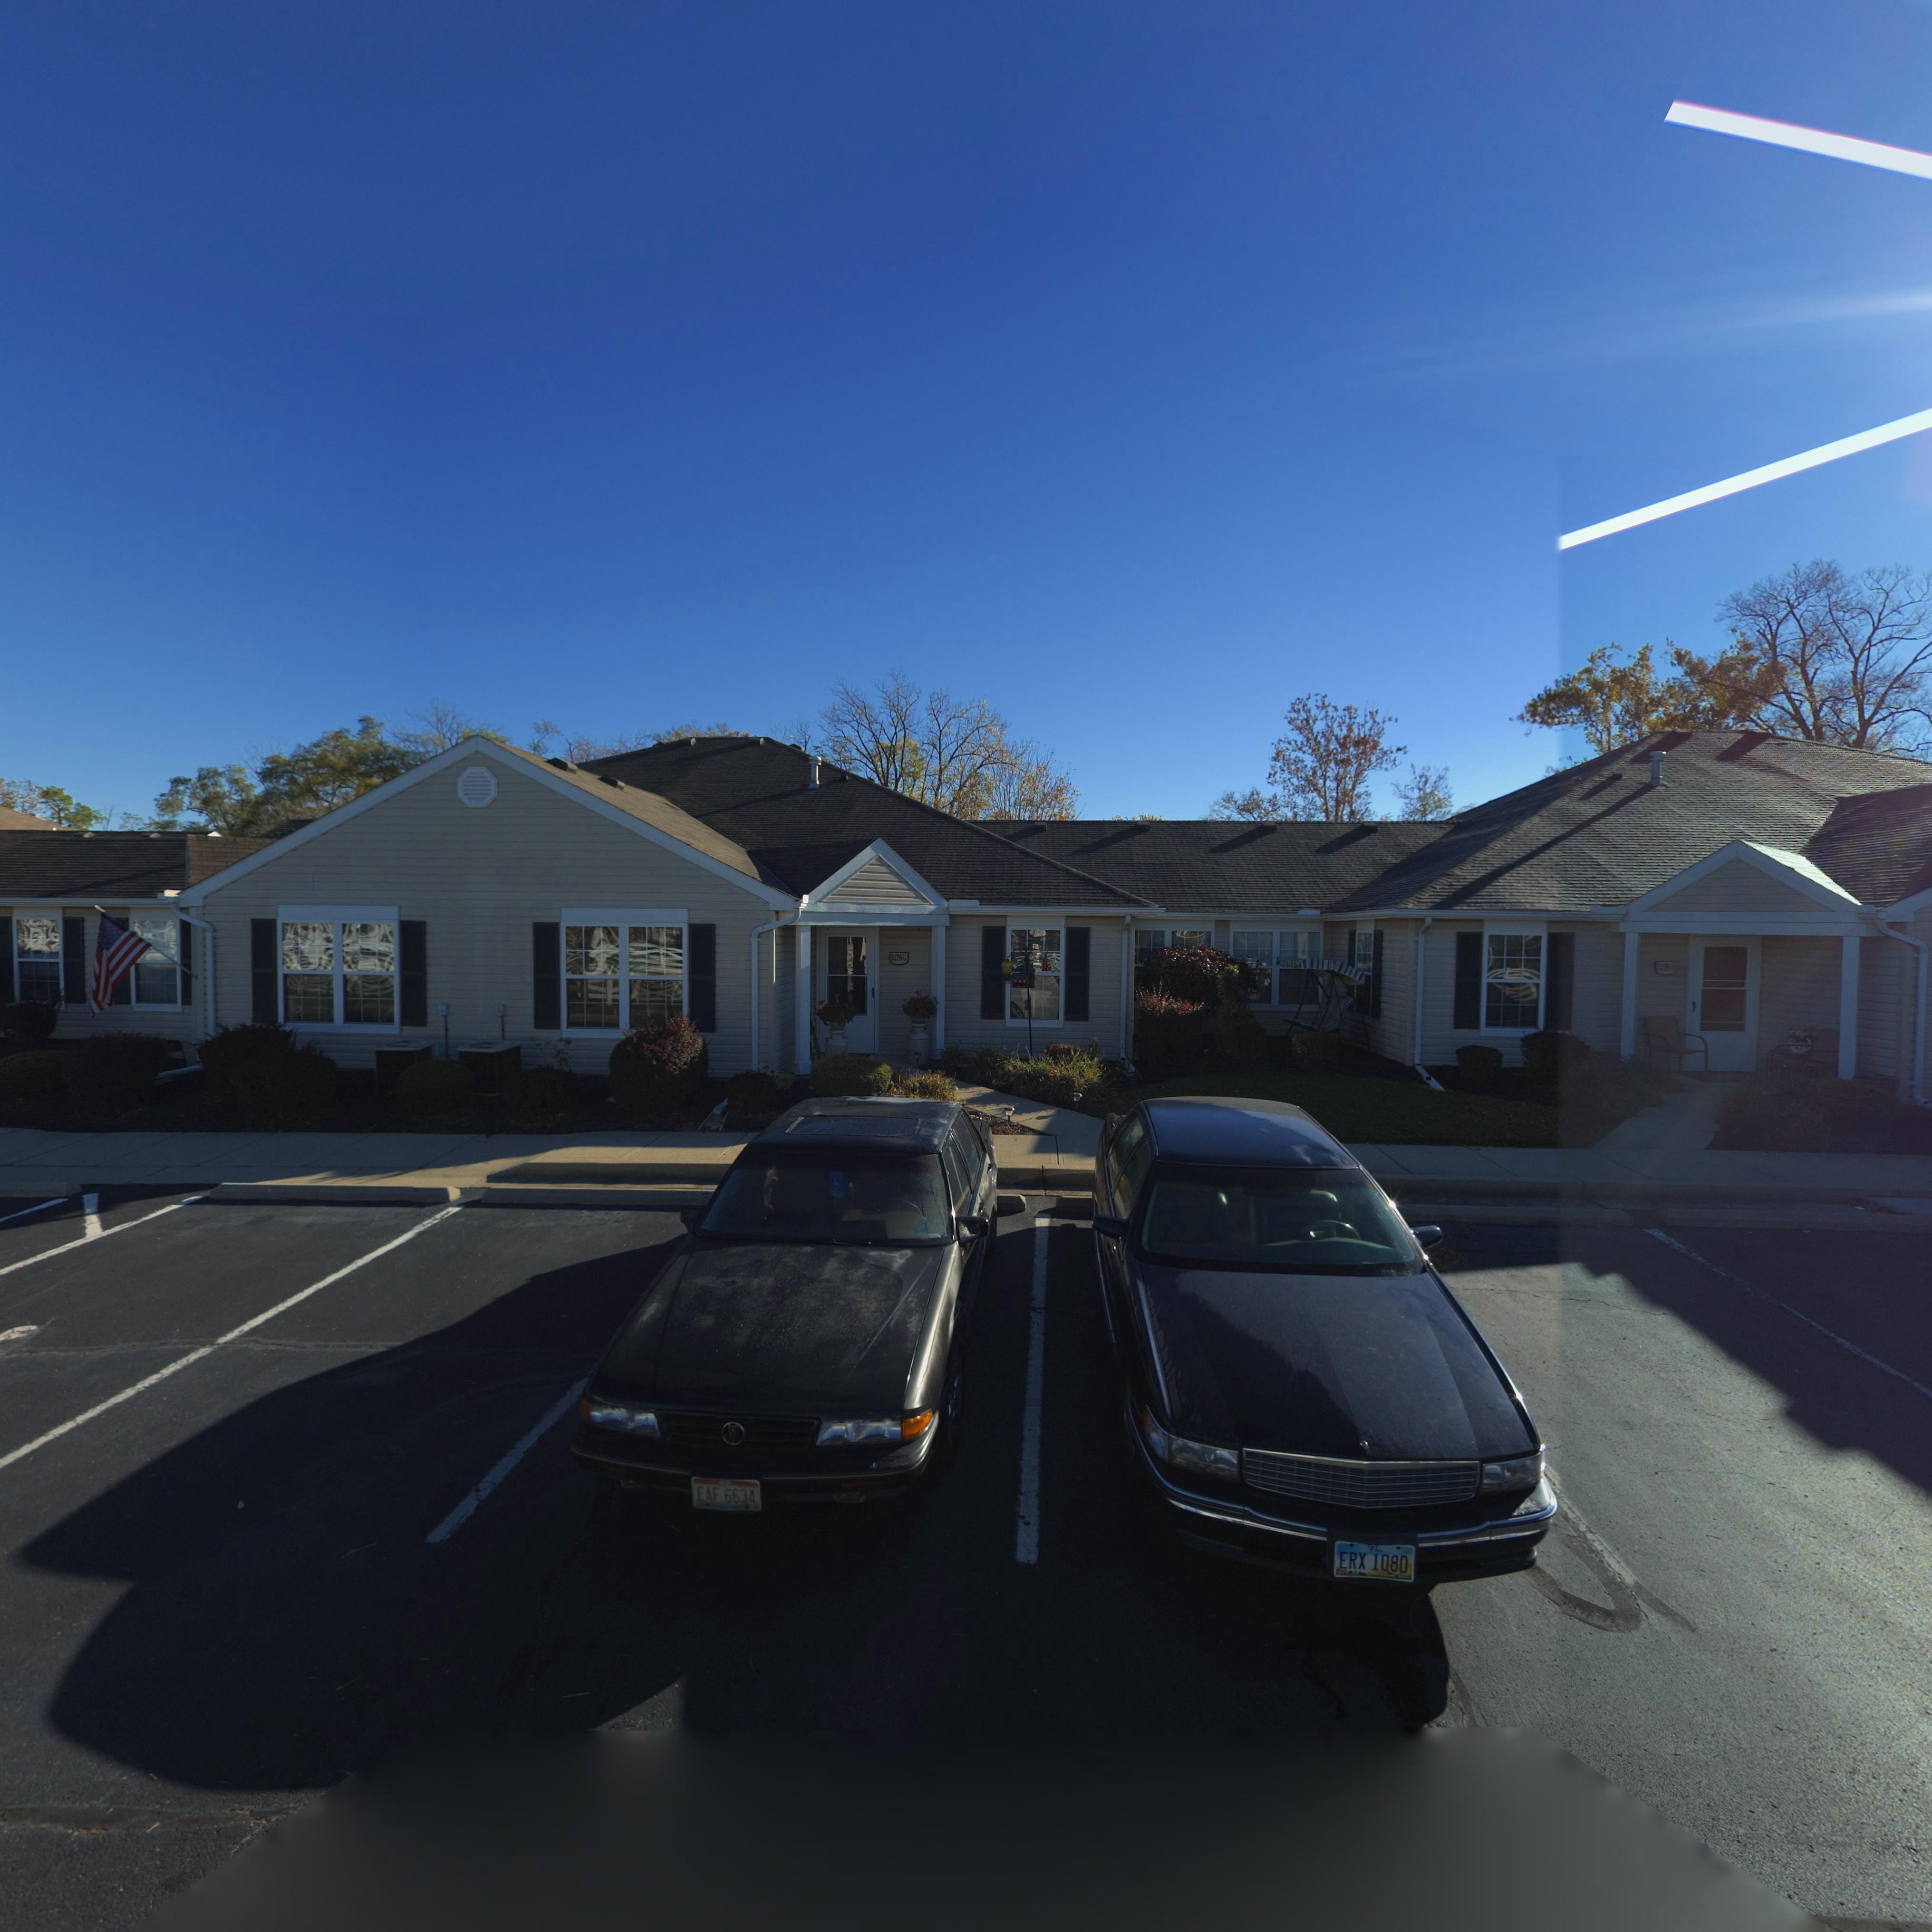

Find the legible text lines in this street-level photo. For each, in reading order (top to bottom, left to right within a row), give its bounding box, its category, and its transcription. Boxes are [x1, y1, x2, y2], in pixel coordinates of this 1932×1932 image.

[889, 953, 908, 962] StreetNumber: 5276-G
[1655, 962, 1676, 972] StreetNumber: 5*7***